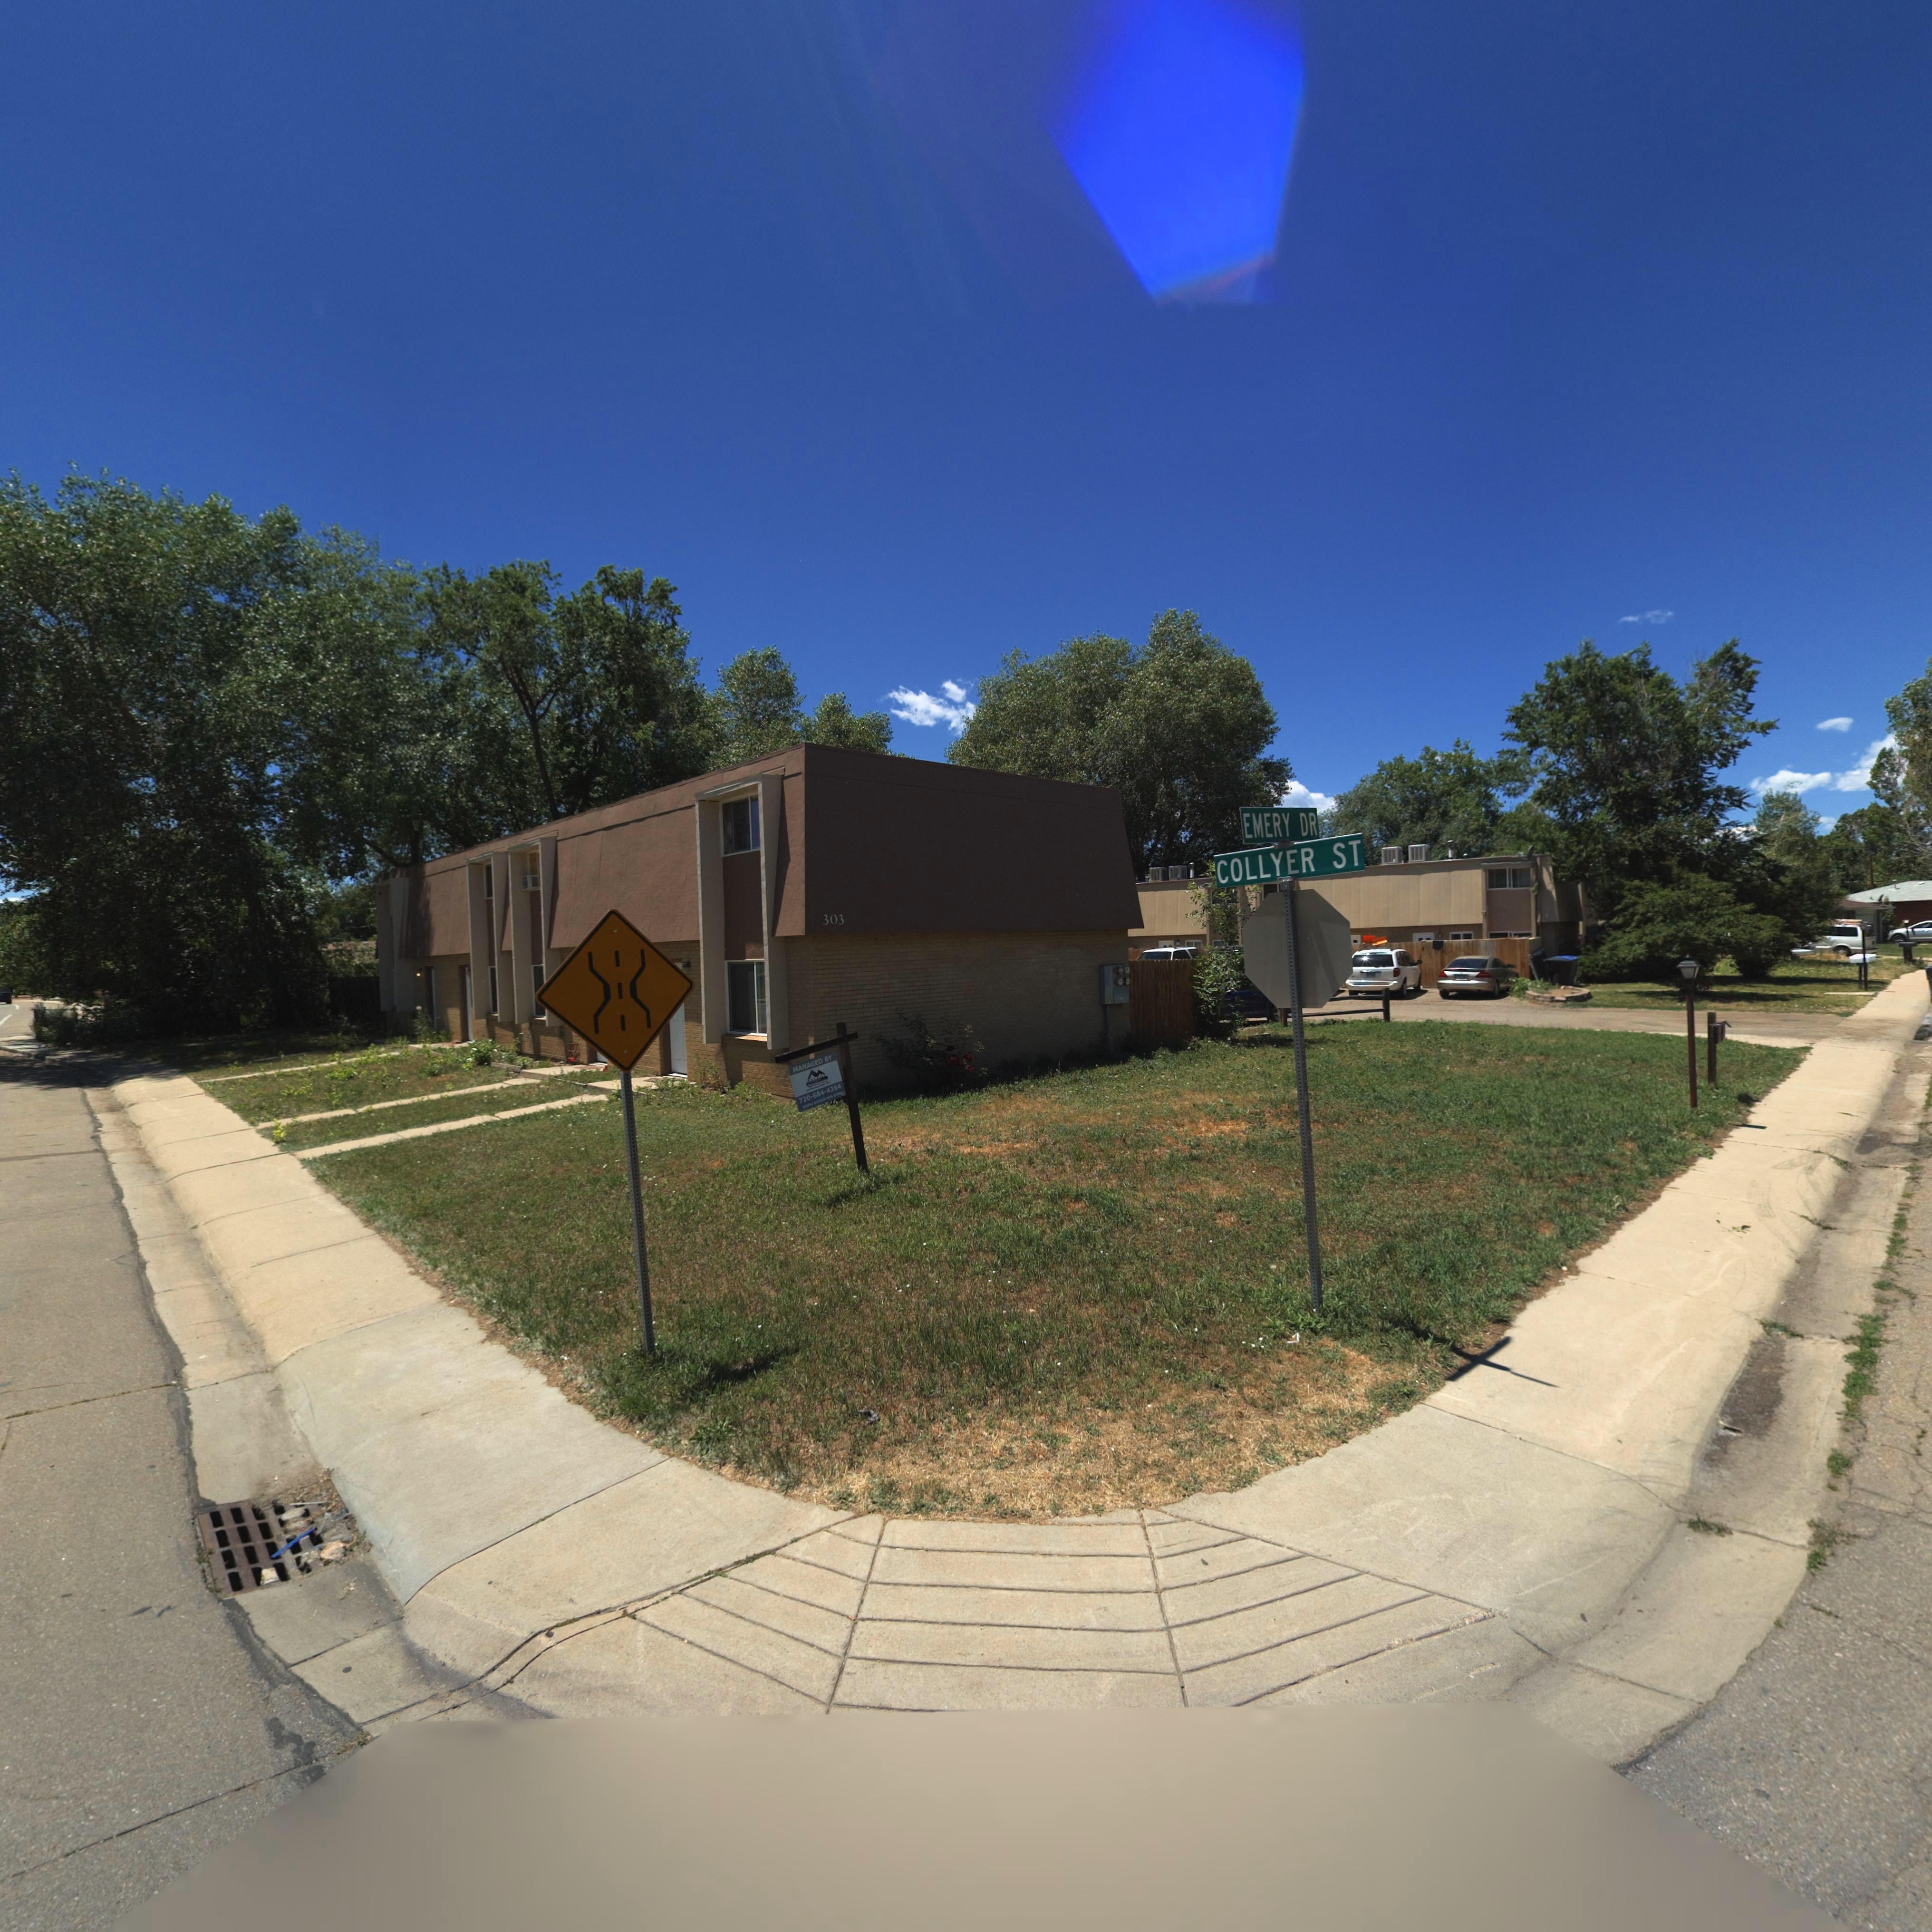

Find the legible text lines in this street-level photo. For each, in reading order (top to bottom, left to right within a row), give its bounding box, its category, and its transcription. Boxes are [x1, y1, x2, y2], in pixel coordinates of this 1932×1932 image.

[1242, 812, 1318, 839] StreetName: EMERY DR
[1216, 839, 1362, 884] StreetName: COLLYER ST
[821, 913, 844, 926] StreetNumber: 303